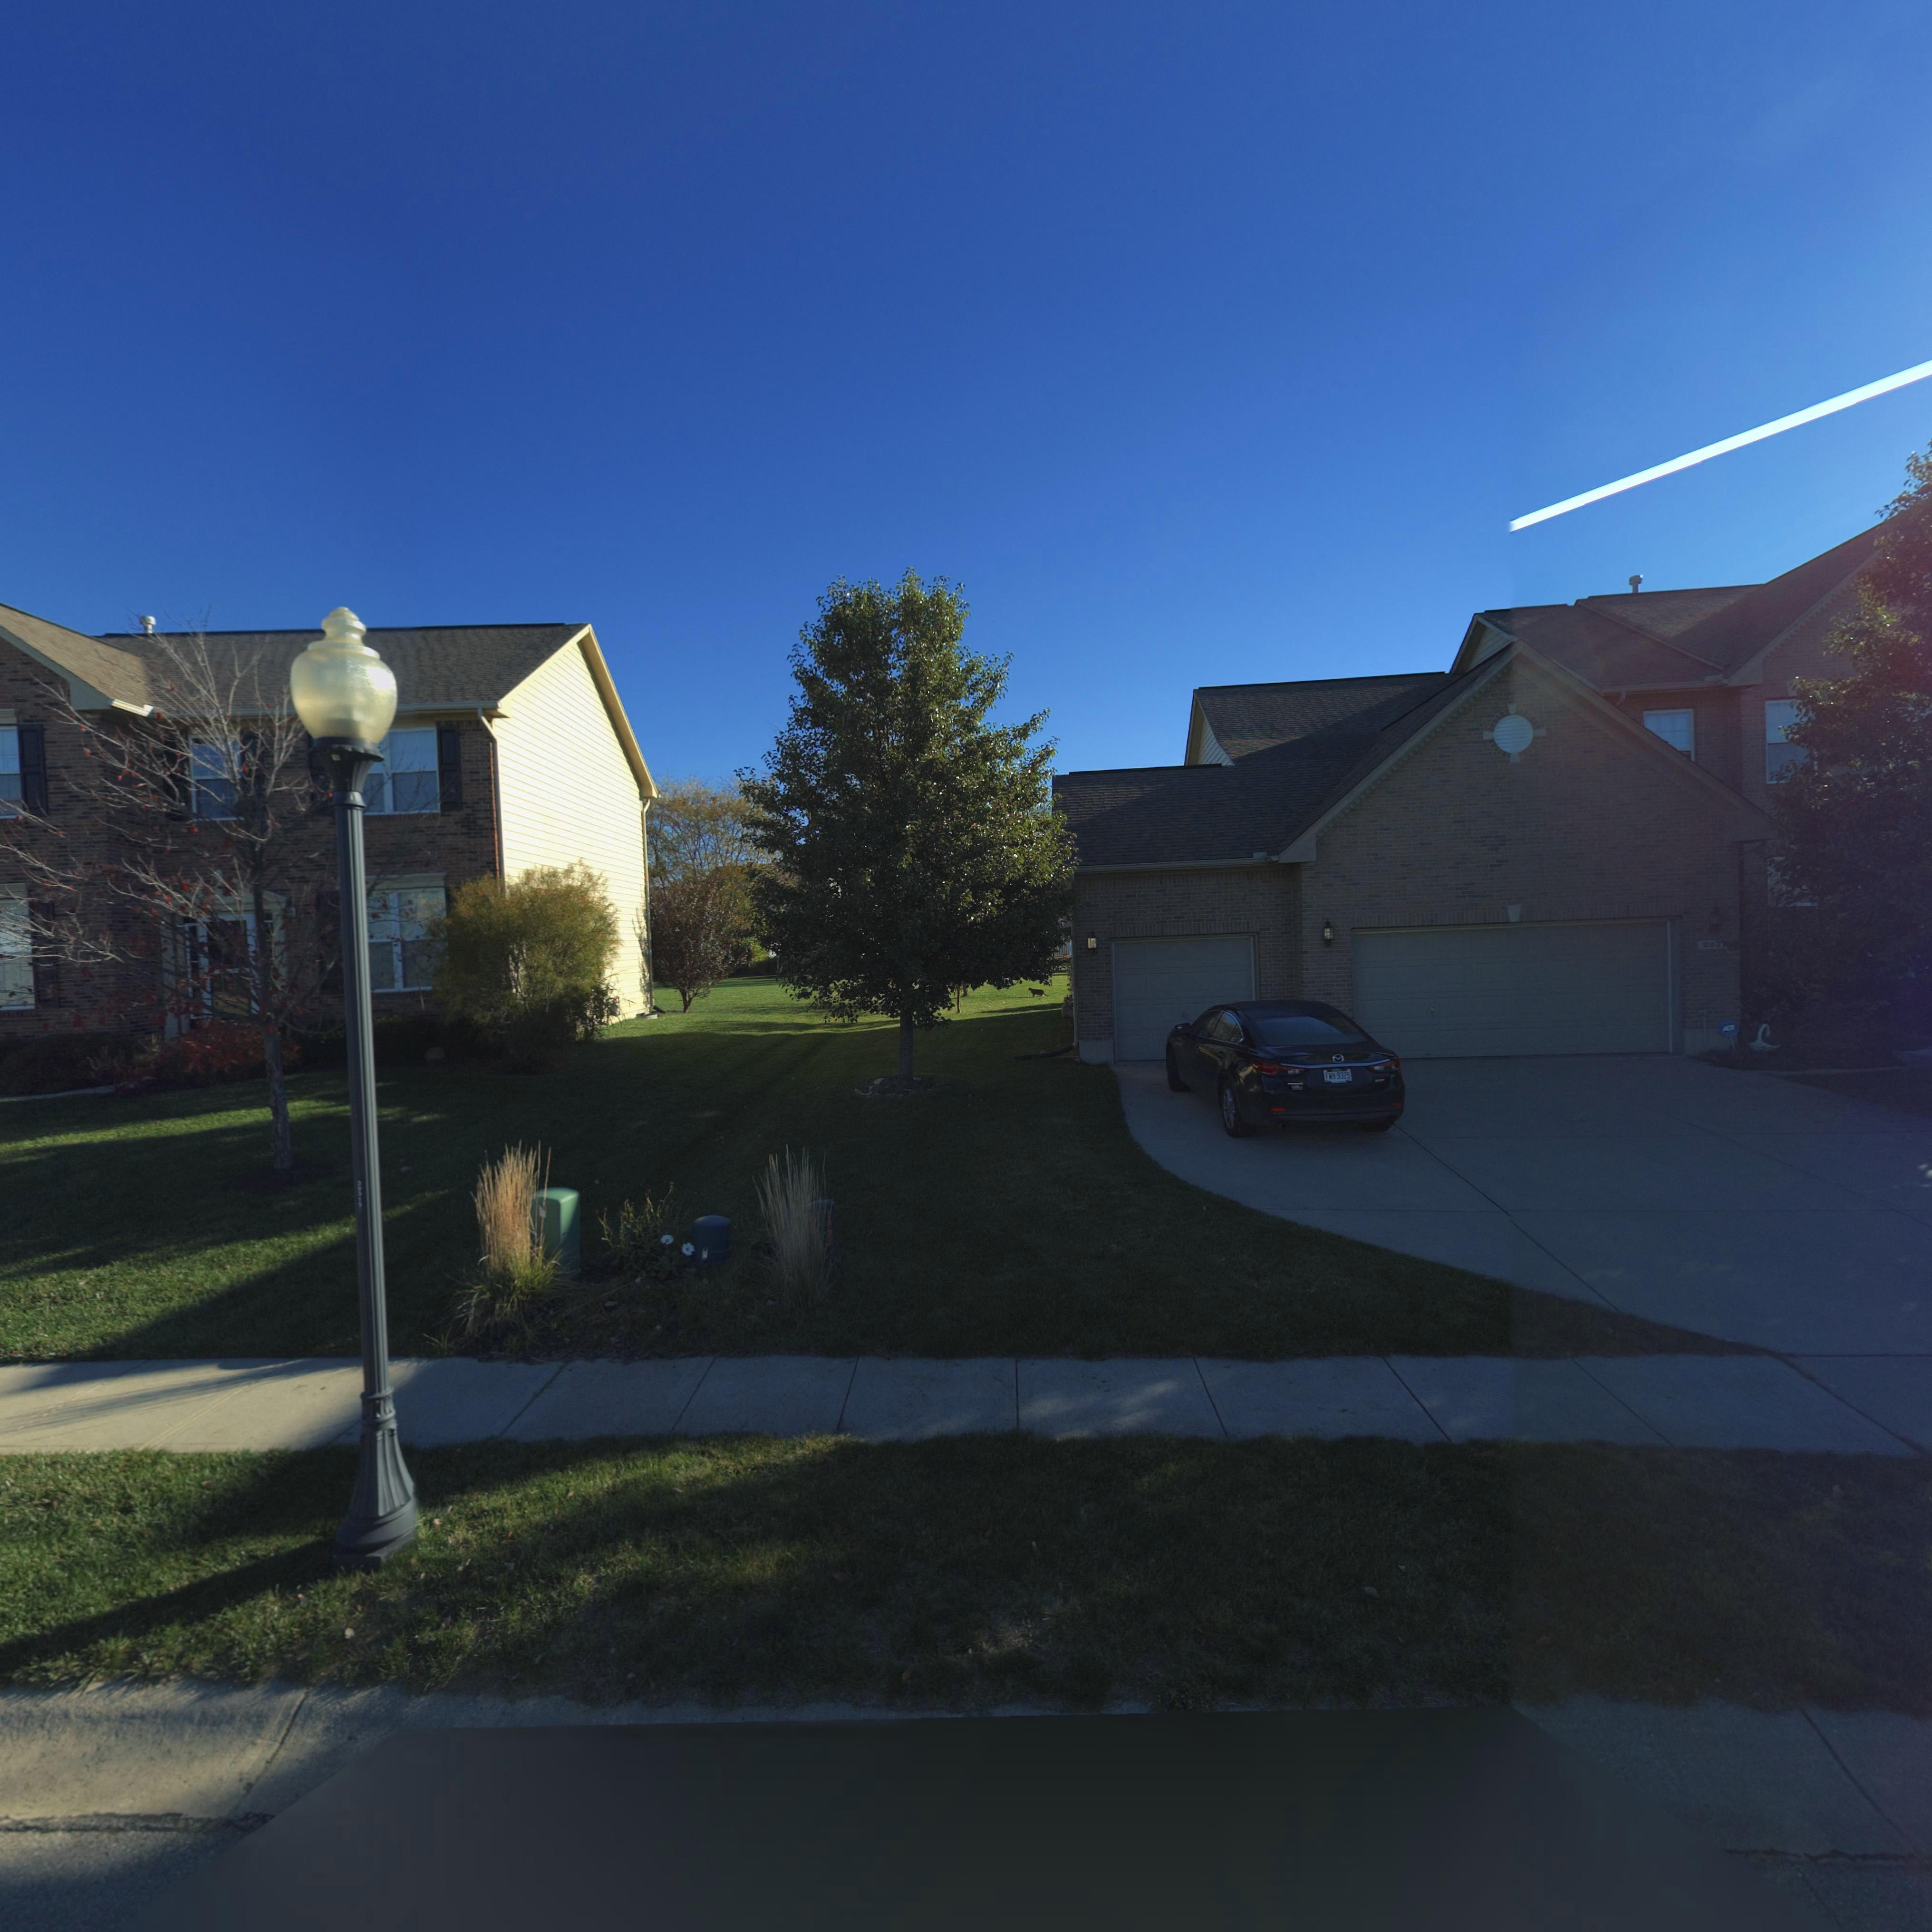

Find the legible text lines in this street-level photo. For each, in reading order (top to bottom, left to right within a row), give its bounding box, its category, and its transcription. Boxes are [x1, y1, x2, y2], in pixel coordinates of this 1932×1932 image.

[1702, 940, 1721, 949] StreetNumber: 203
[1323, 1071, 1350, 1080] None: FWH 9325